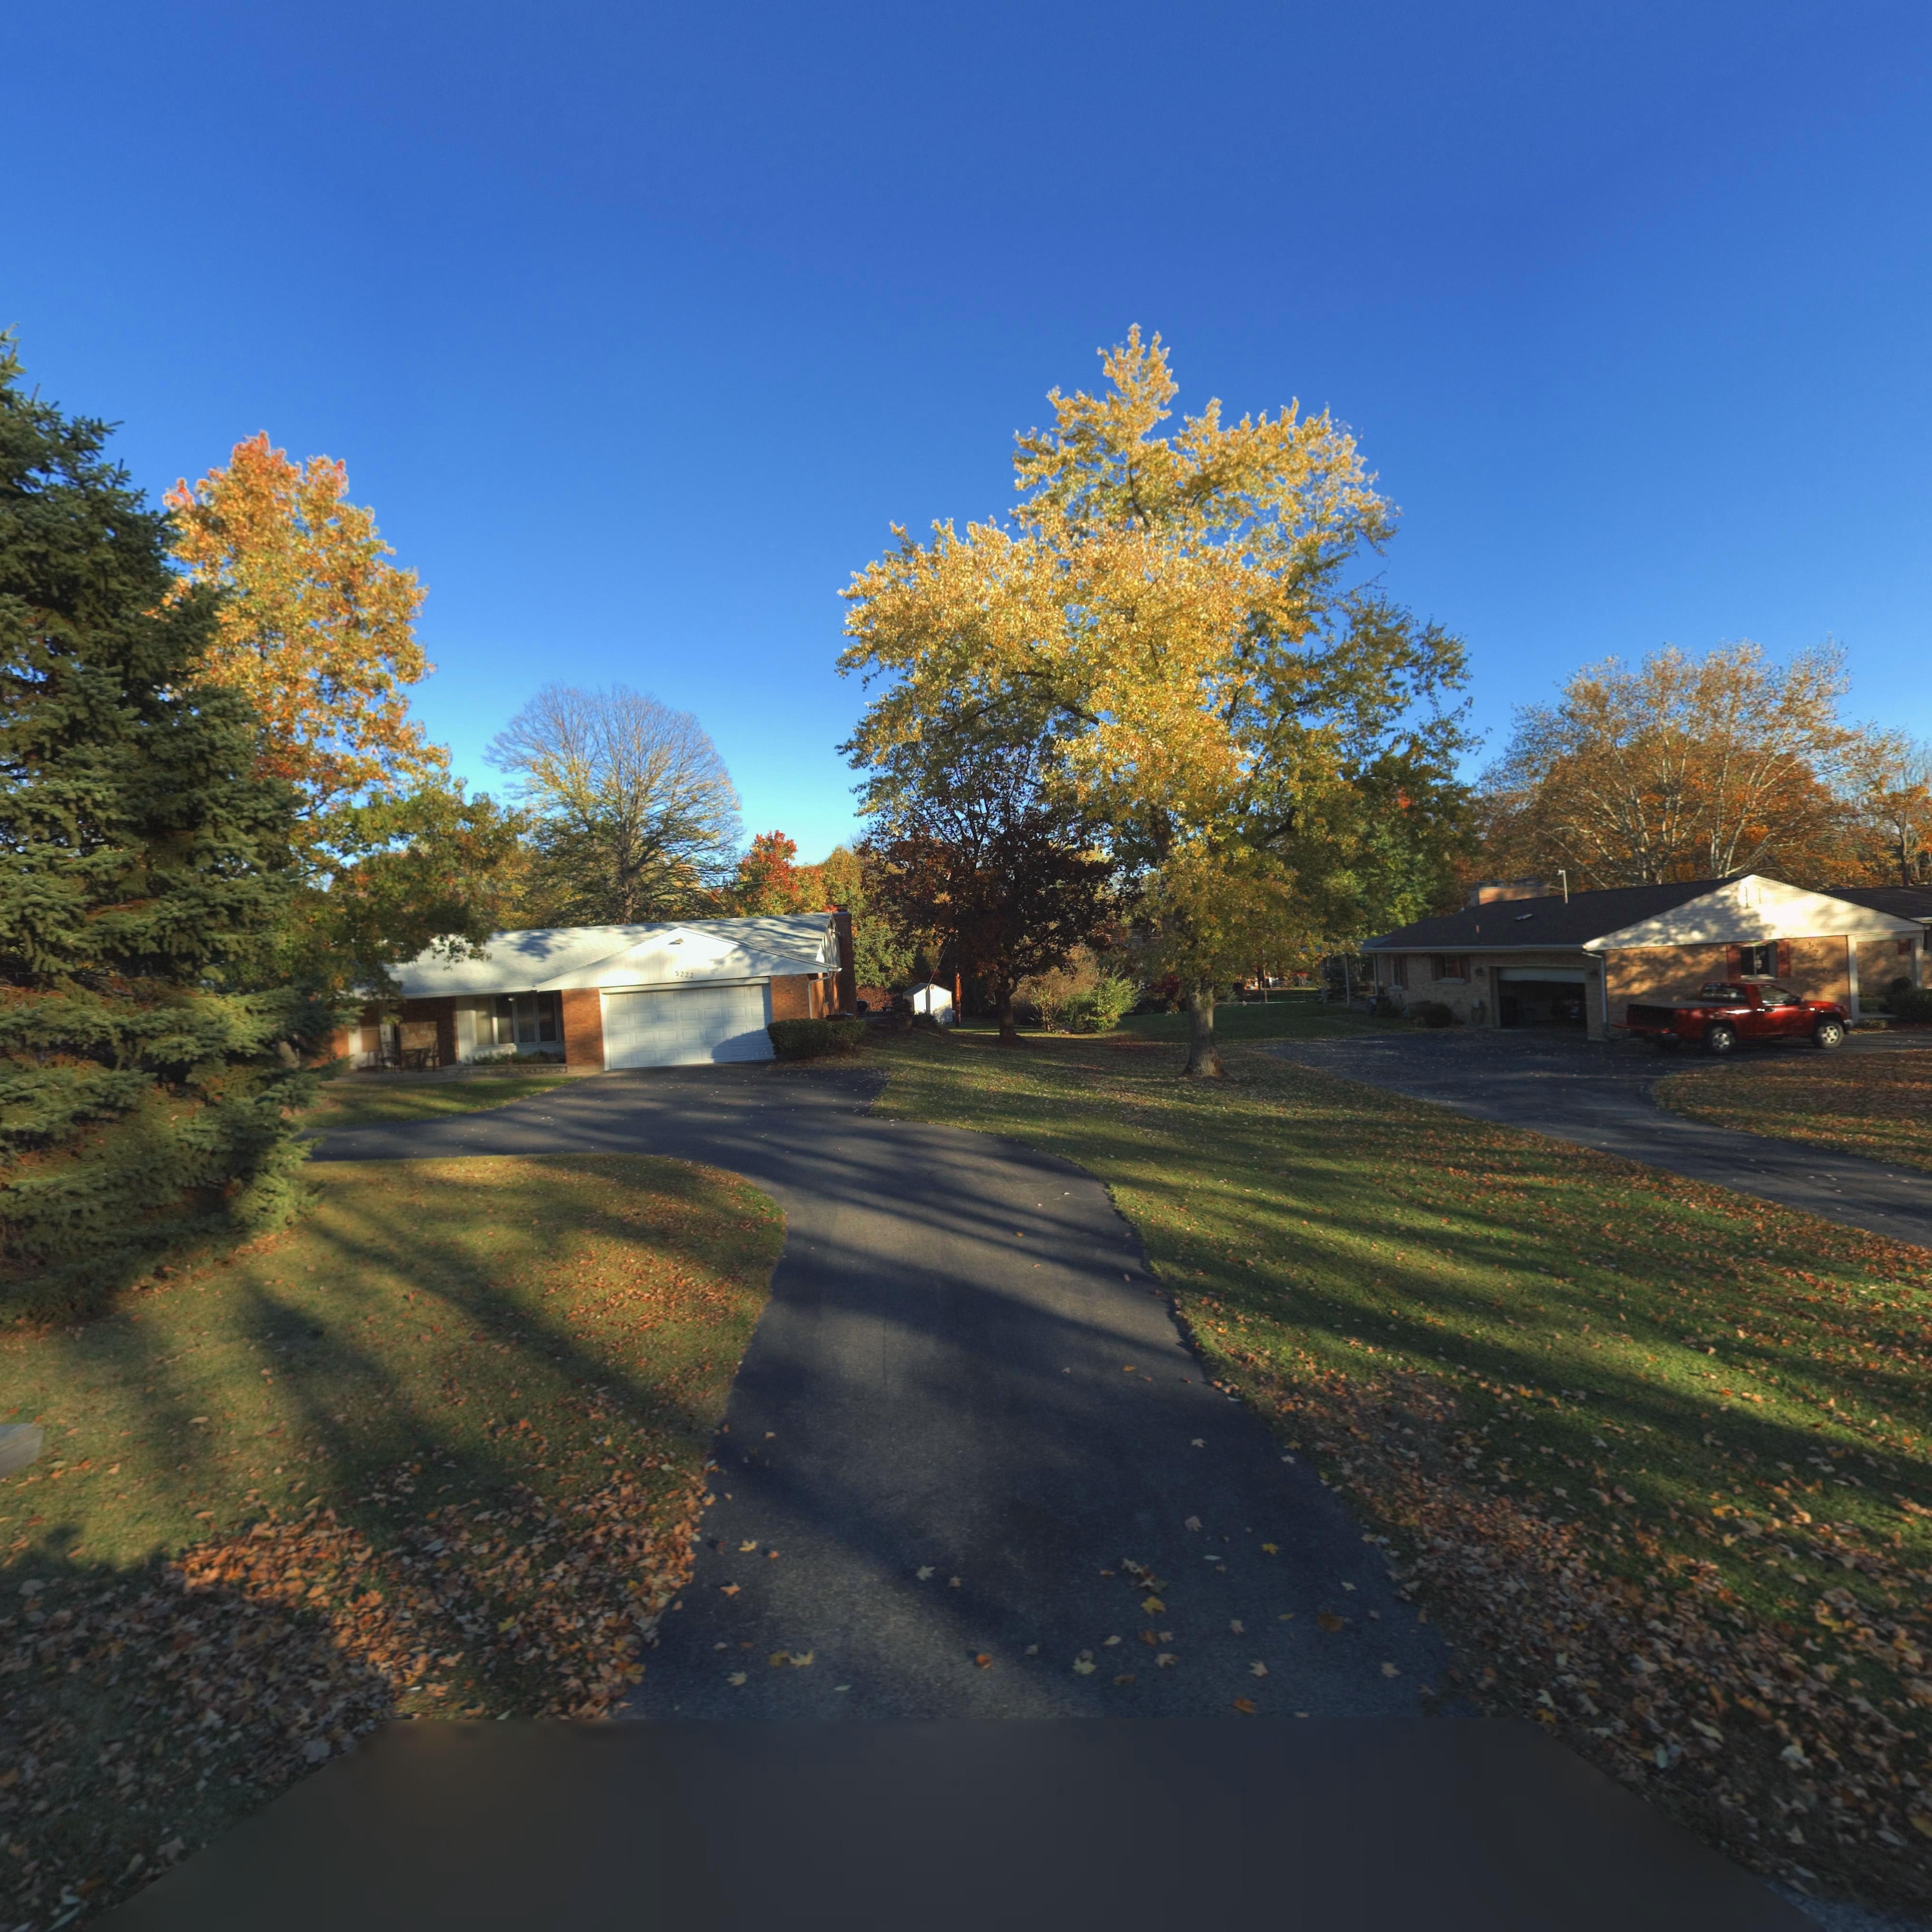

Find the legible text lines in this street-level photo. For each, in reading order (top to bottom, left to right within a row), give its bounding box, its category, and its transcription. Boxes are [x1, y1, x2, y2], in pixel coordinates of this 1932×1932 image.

[674, 969, 695, 980] StreetNumber: 5222